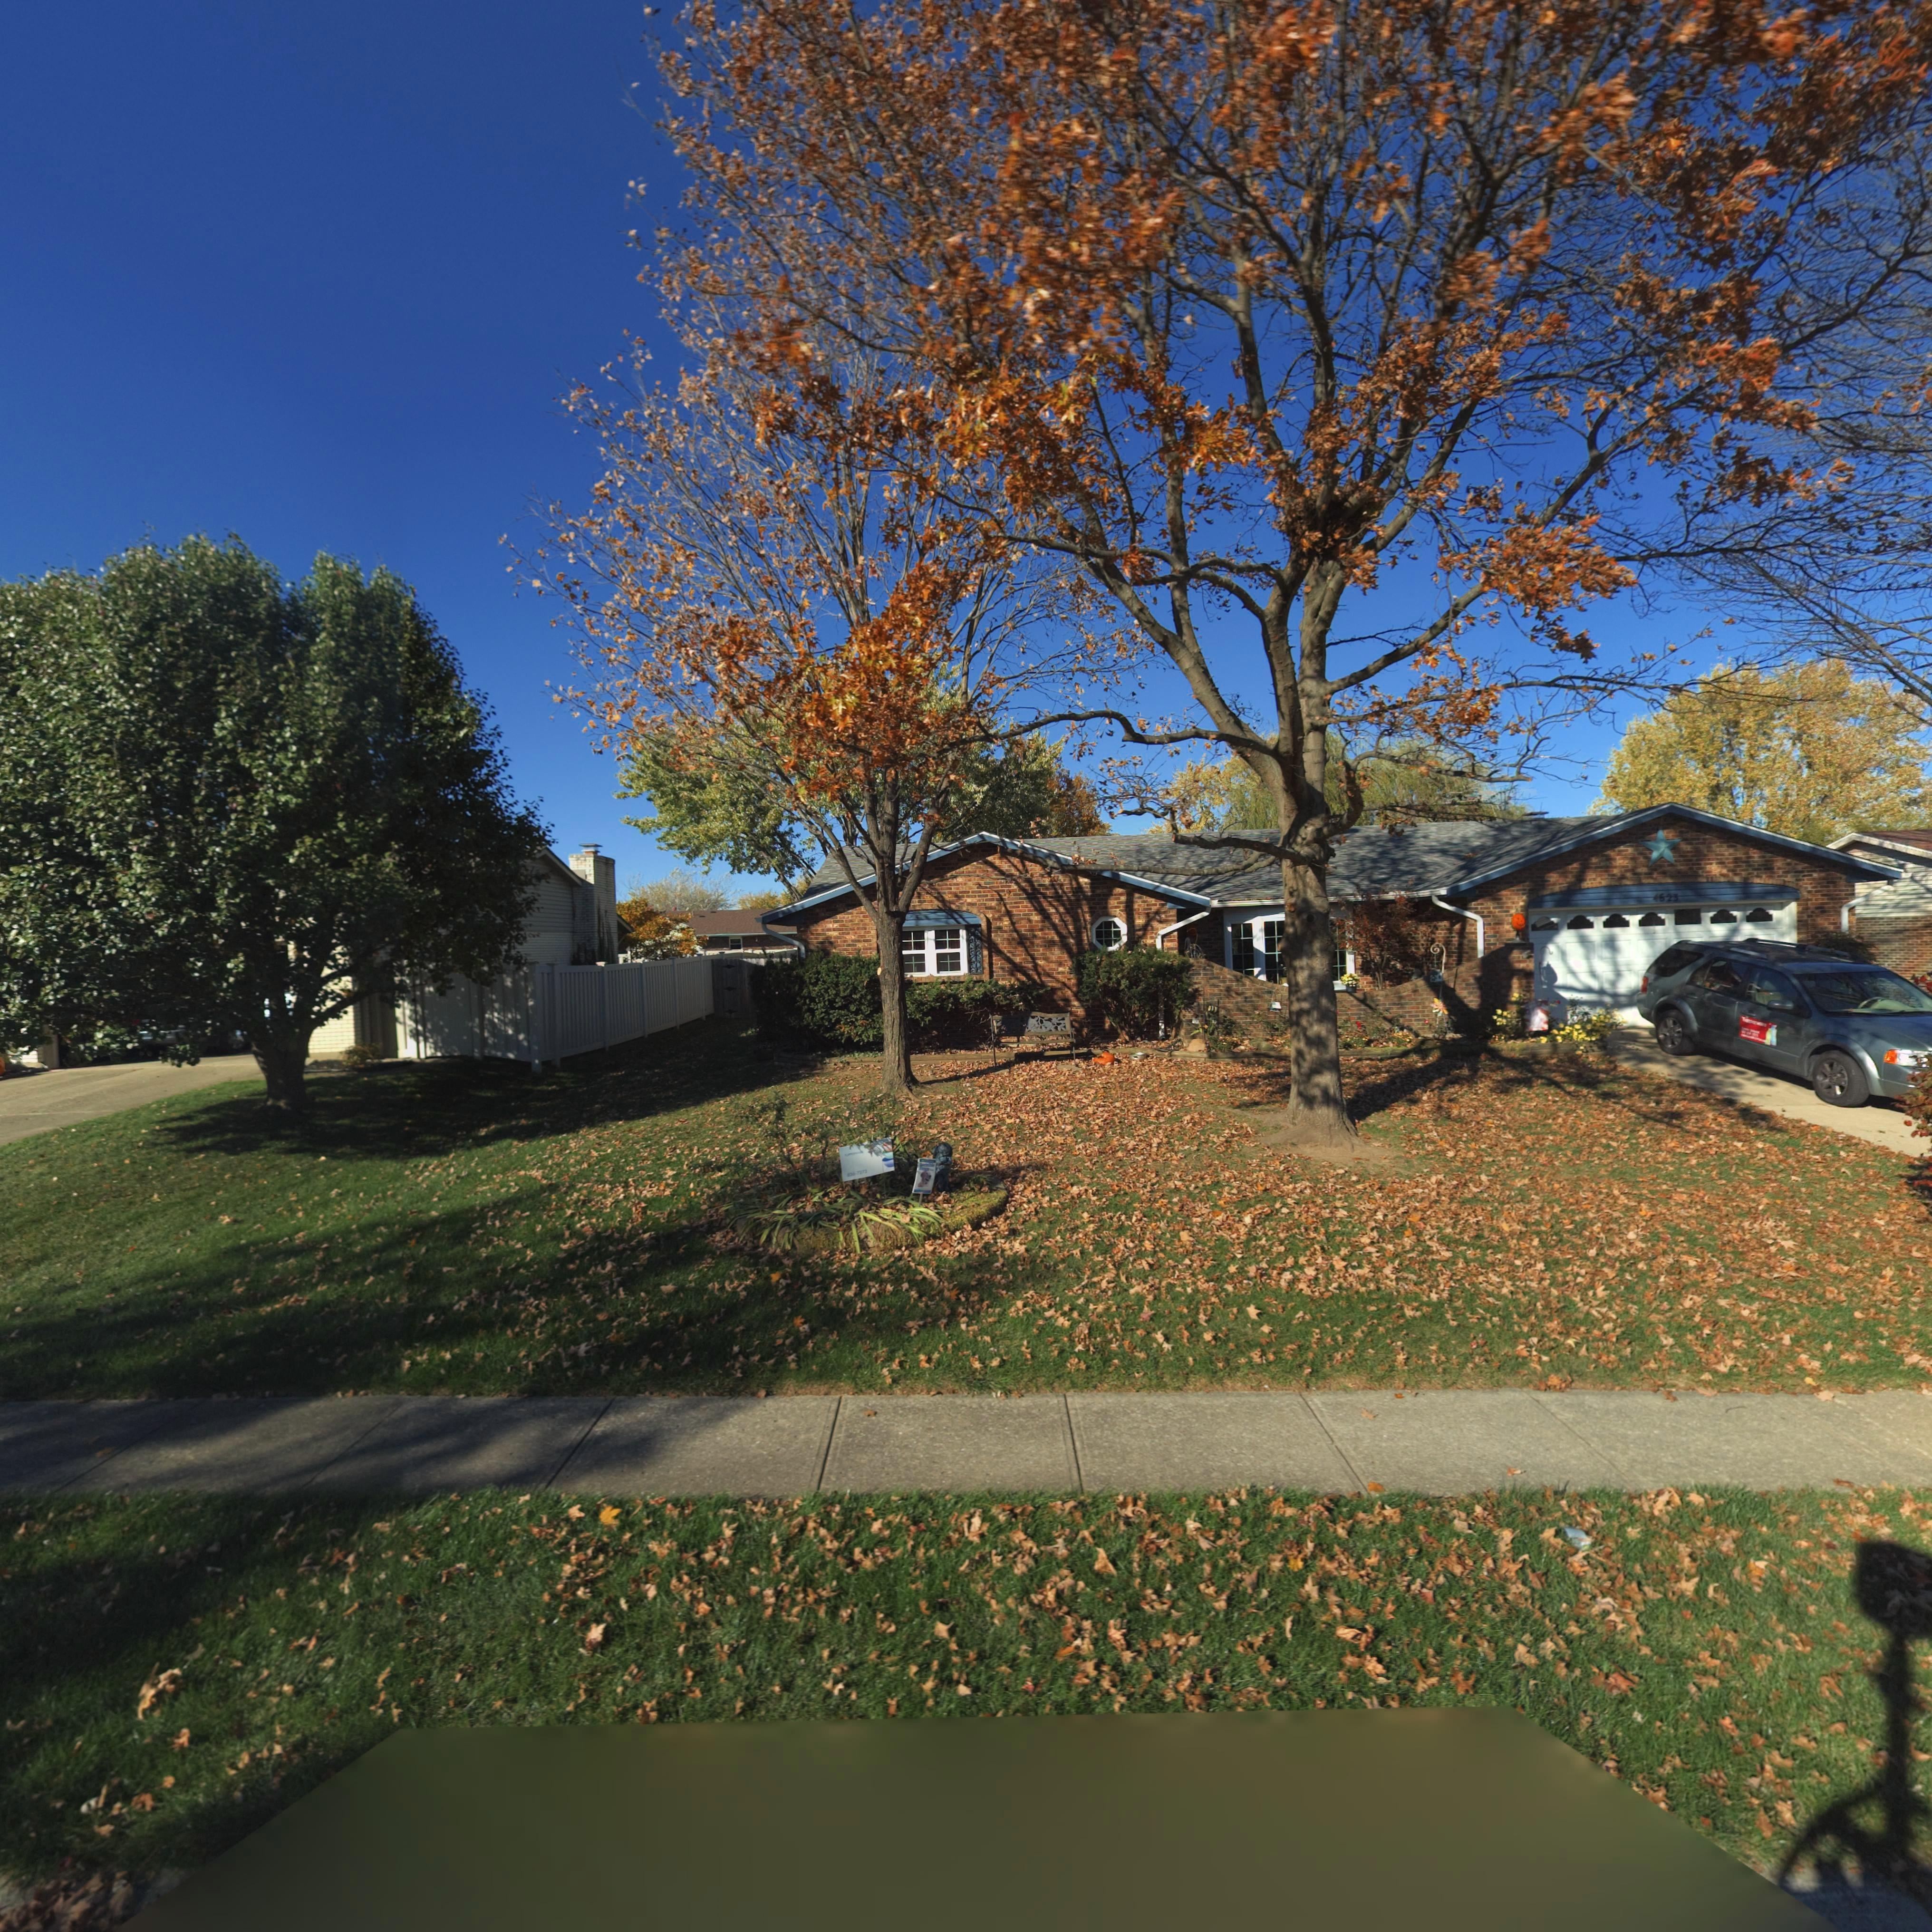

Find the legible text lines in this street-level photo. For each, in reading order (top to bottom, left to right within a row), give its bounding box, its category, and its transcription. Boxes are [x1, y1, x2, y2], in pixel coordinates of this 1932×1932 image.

[1652, 893, 1679, 902] StreetNumber: 4623